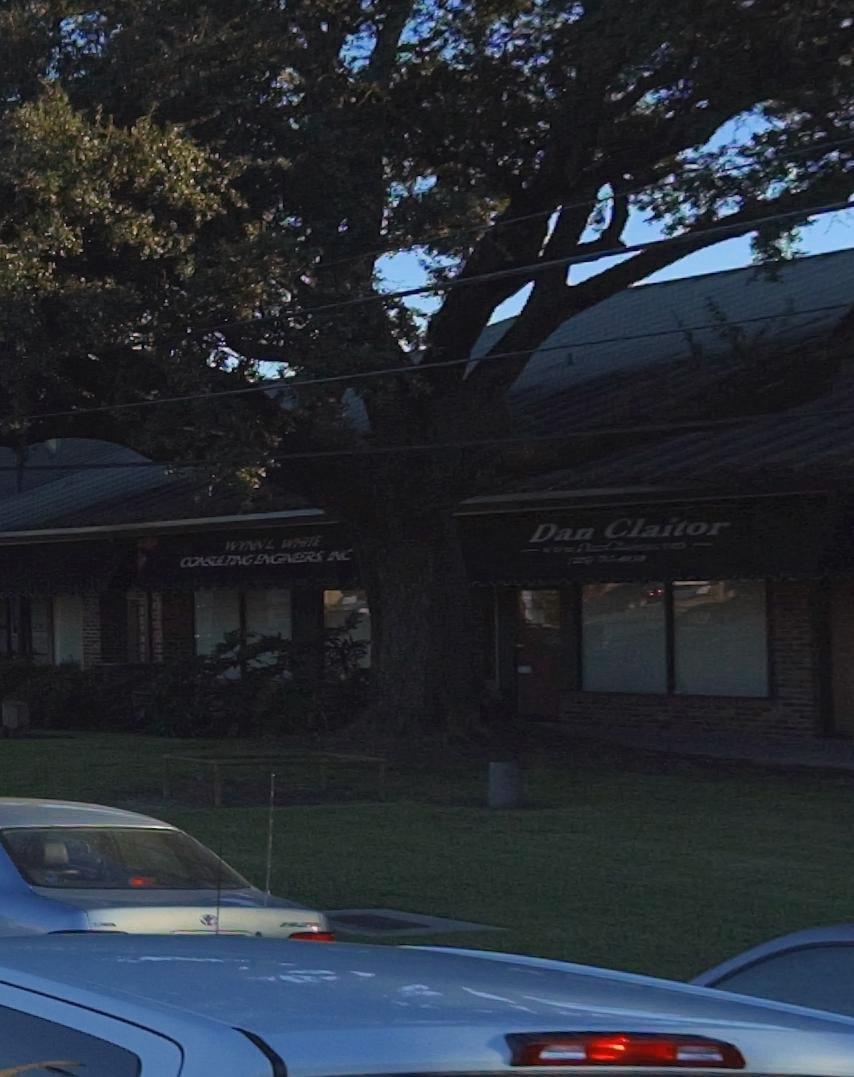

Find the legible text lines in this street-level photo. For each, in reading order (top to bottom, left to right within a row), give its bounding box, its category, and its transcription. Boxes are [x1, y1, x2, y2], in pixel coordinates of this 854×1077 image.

[526, 517, 732, 544] None: Dan Claitor
[223, 532, 324, 553] BusinessName: W***L WHITE
[178, 547, 355, 569] BusinessName: CONSULTING ENGINEERS, INC